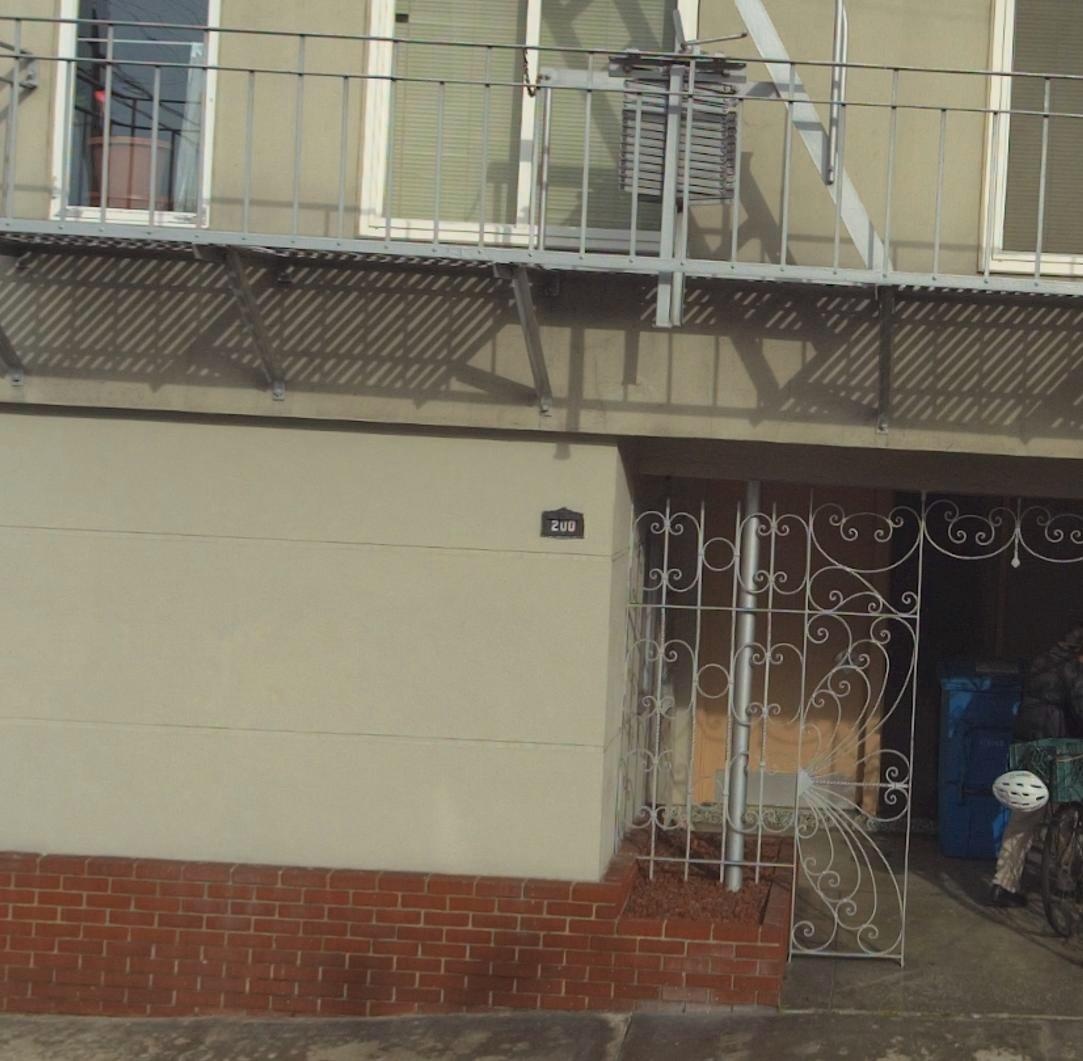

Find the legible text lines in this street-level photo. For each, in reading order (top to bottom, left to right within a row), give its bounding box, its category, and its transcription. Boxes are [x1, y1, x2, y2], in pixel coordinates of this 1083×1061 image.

[550, 519, 577, 532] StreetNumber: 200